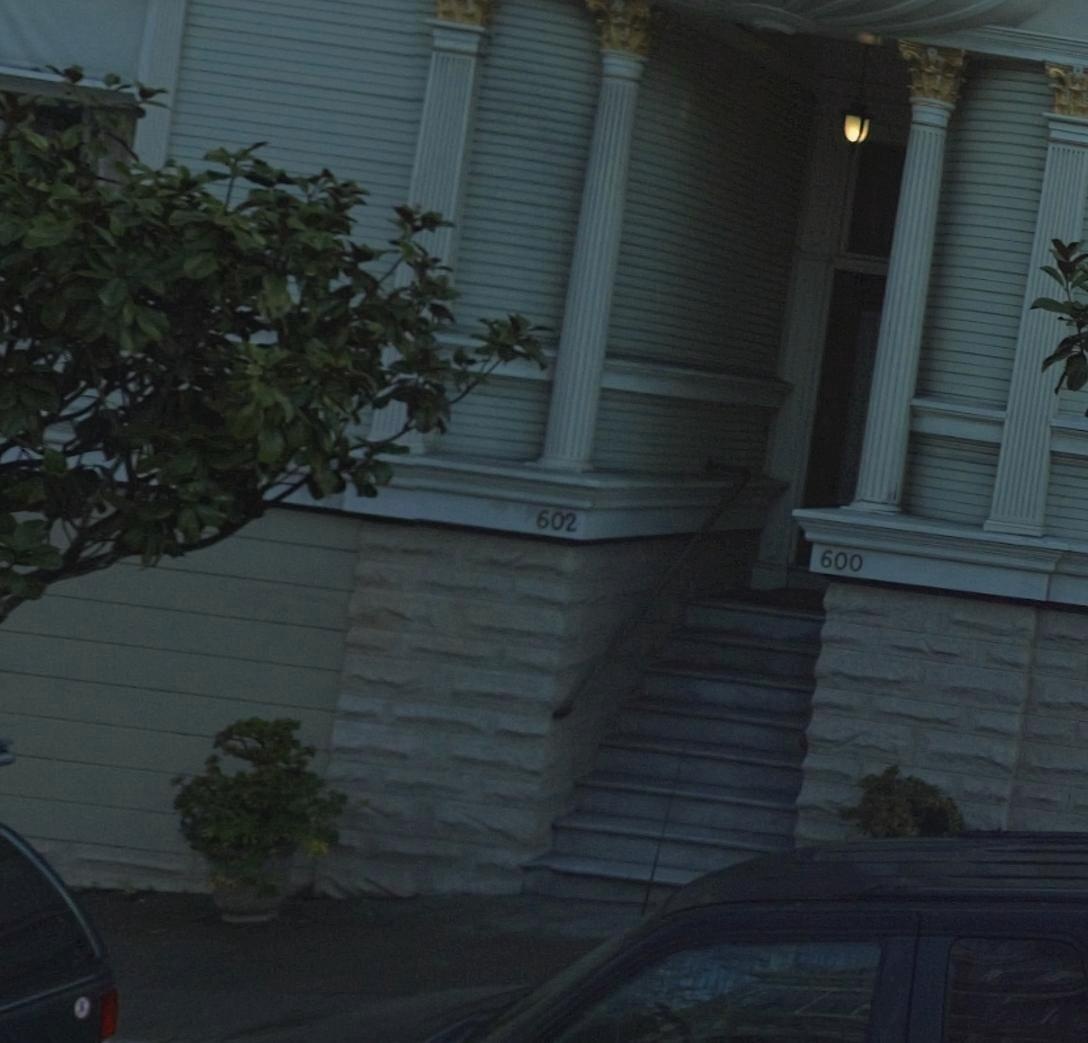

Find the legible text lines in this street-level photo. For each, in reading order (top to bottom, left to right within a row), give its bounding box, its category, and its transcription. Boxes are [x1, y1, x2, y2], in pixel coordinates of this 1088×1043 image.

[531, 506, 579, 535] StreetNumber: 602
[817, 547, 866, 575] StreetNumber: 600